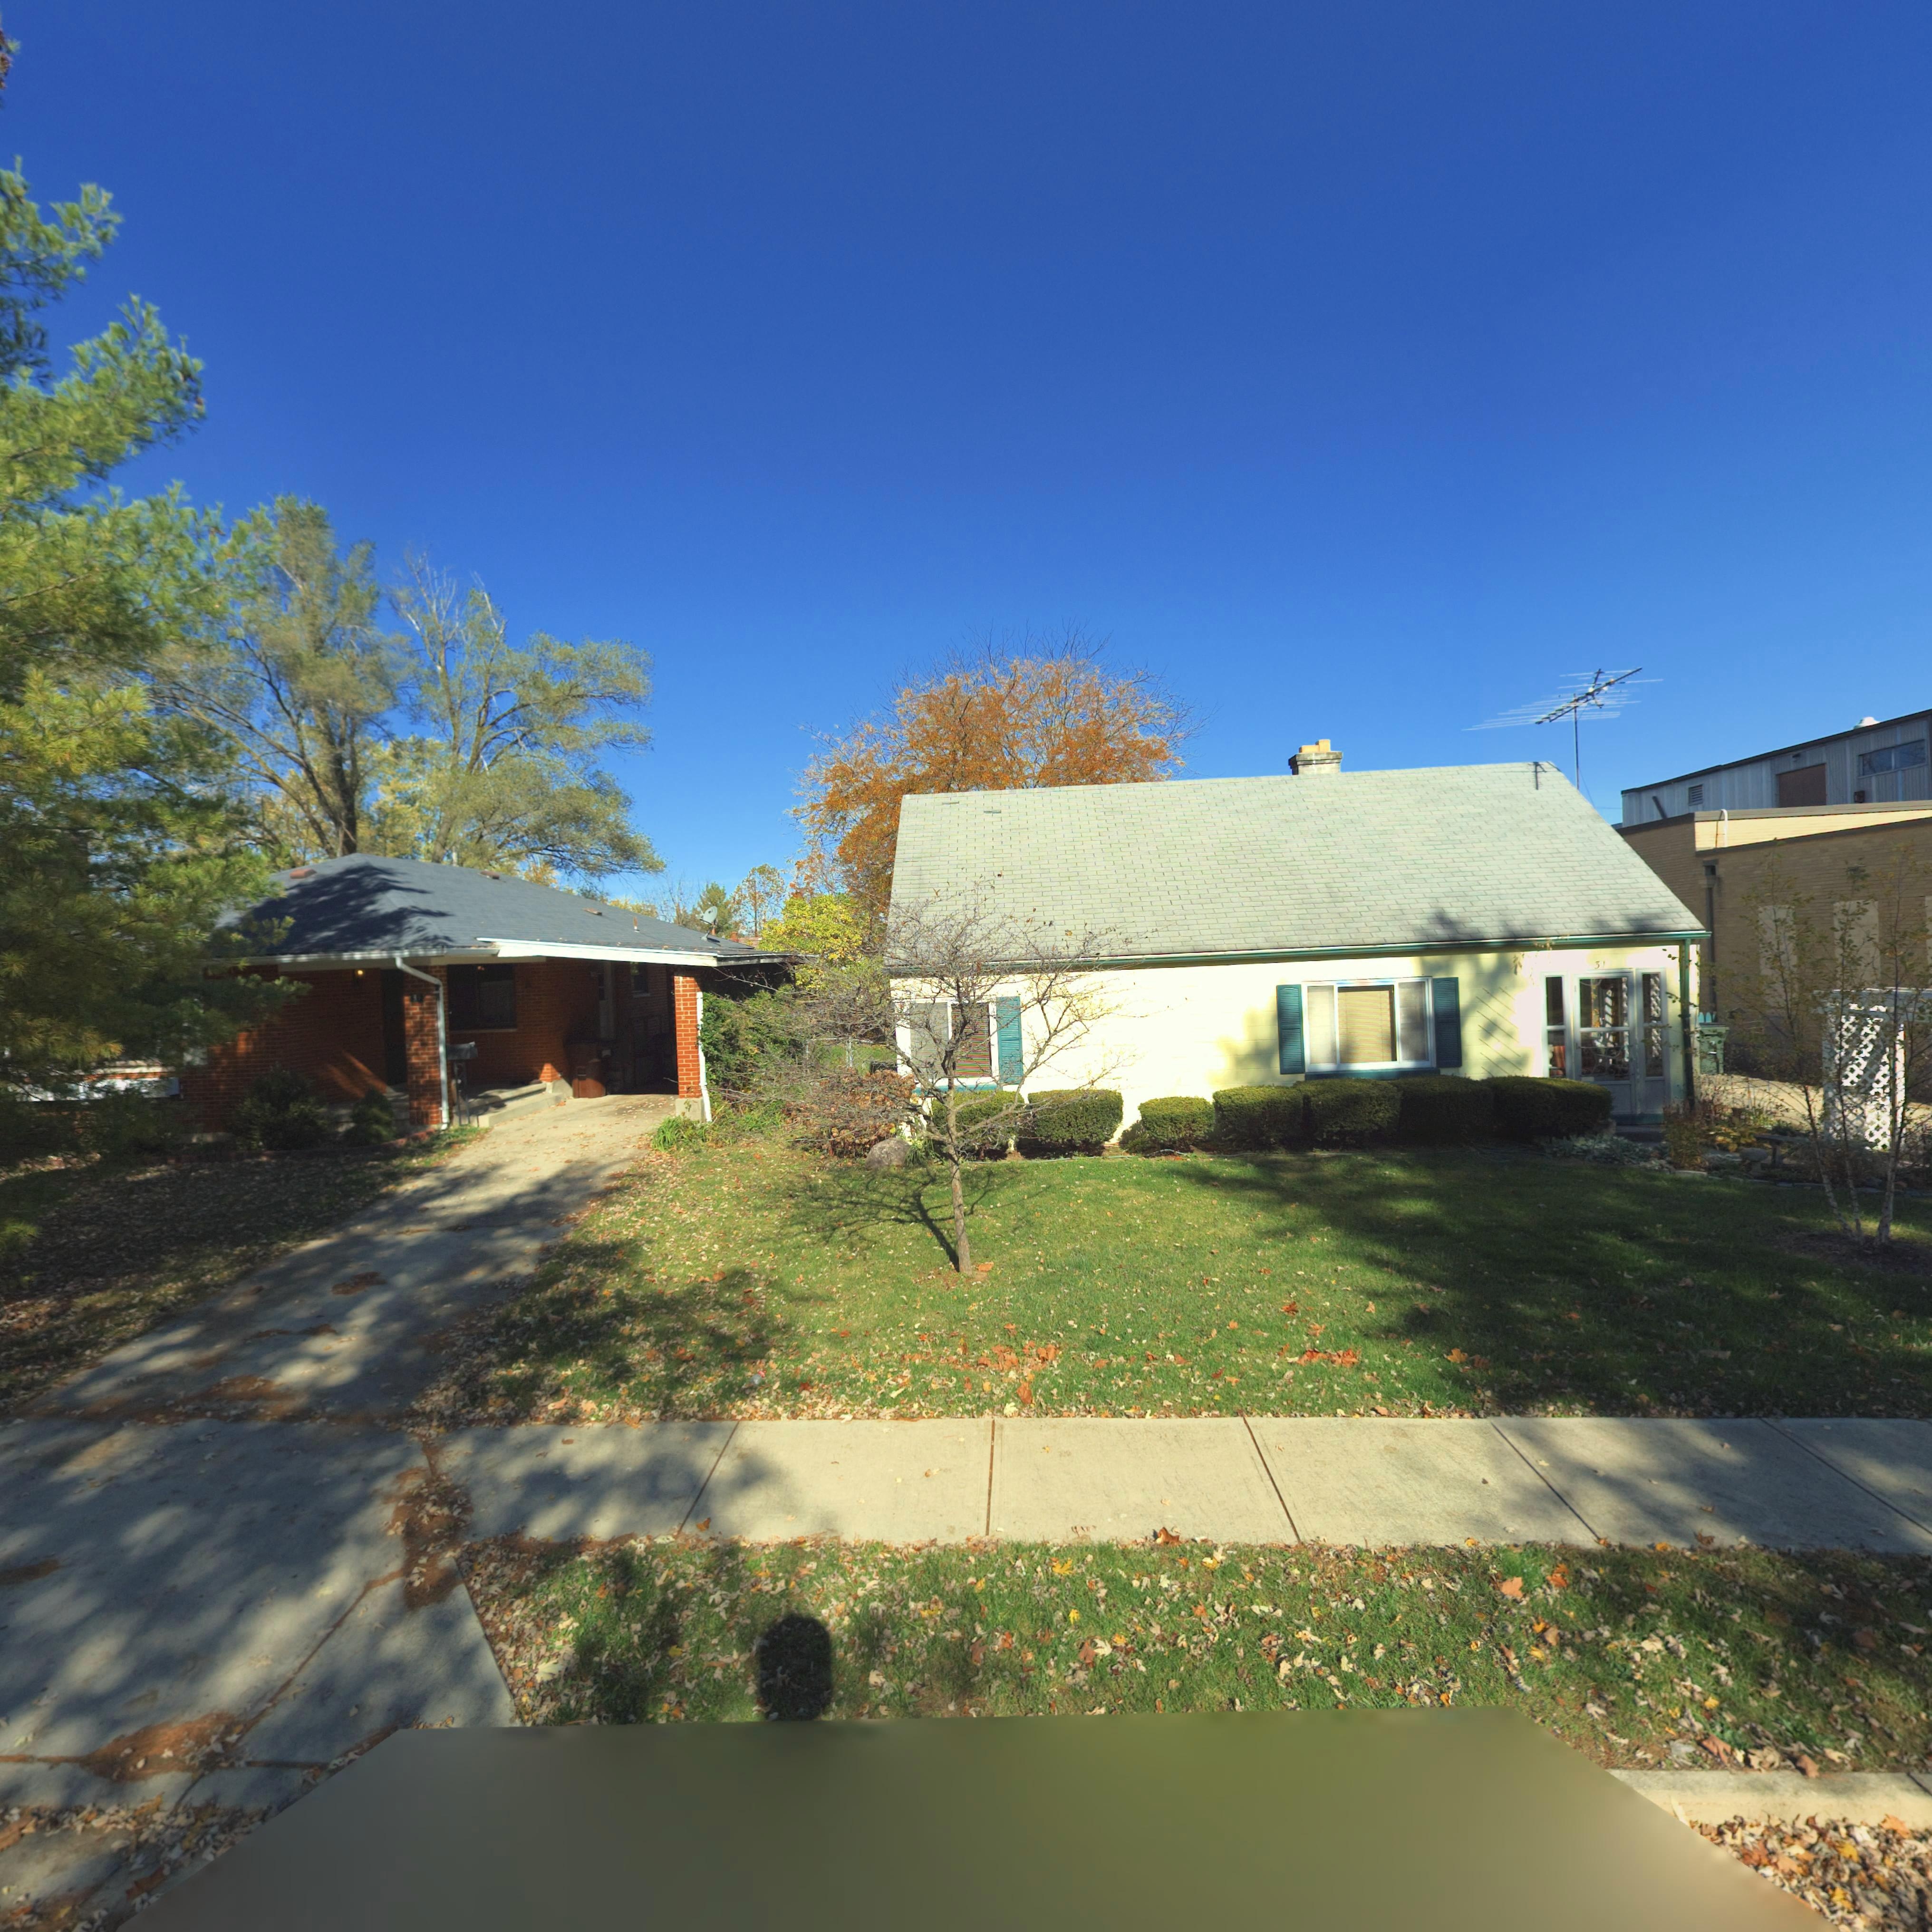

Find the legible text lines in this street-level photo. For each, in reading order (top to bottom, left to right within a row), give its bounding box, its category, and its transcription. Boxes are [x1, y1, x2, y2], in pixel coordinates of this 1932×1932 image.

[1594, 960, 1606, 970] StreetNumber: 3*